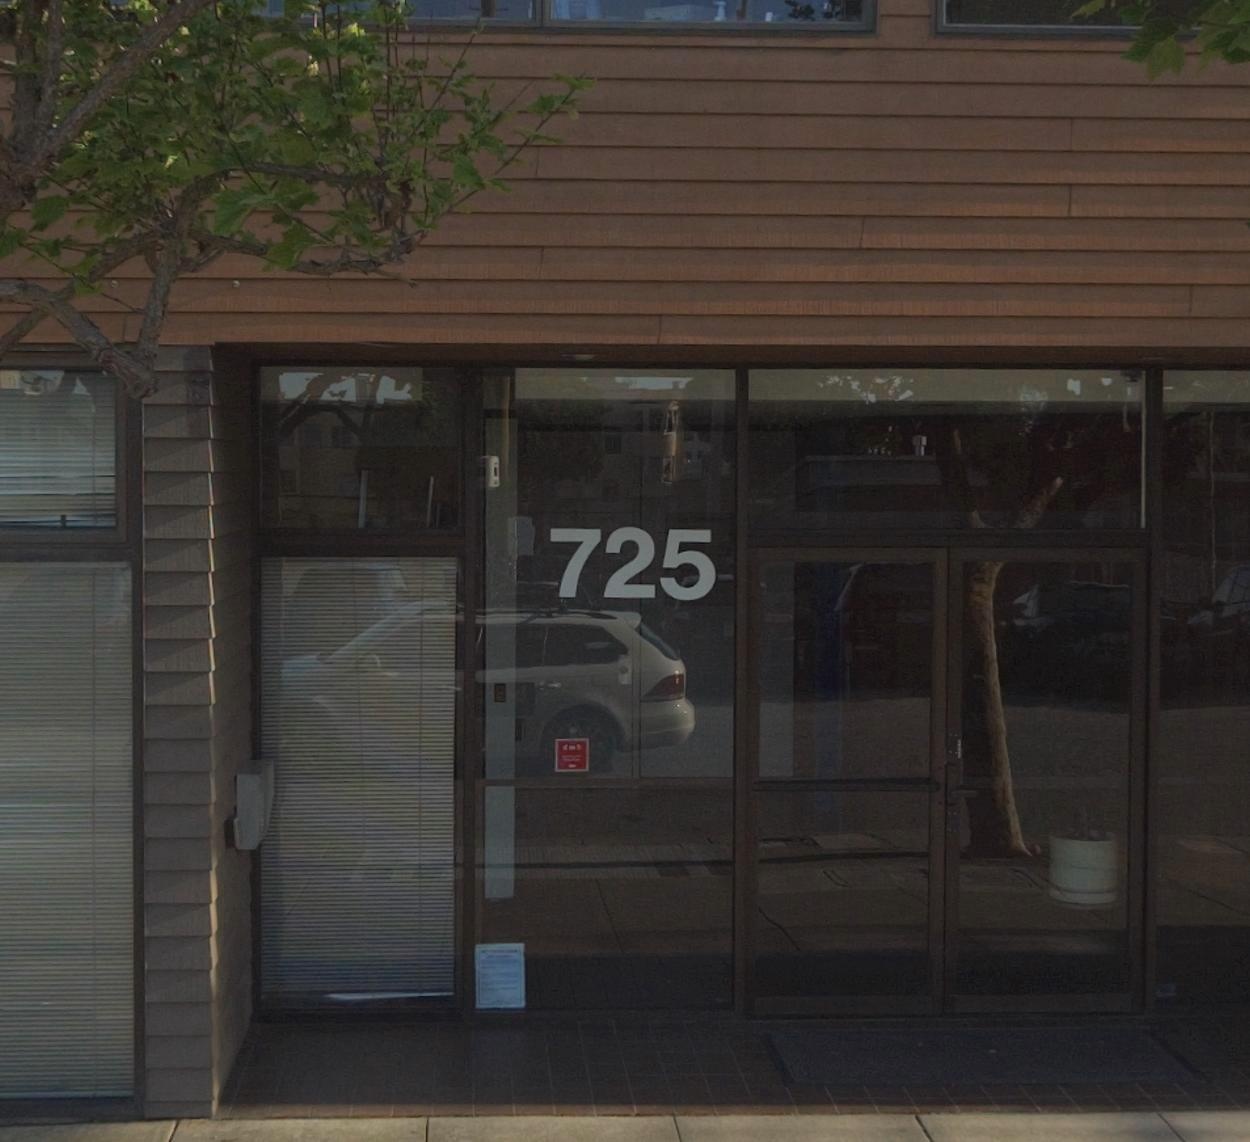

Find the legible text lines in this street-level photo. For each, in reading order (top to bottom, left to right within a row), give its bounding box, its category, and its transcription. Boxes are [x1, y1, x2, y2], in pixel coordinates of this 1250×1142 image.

[547, 523, 718, 604] StreetNumber: 725